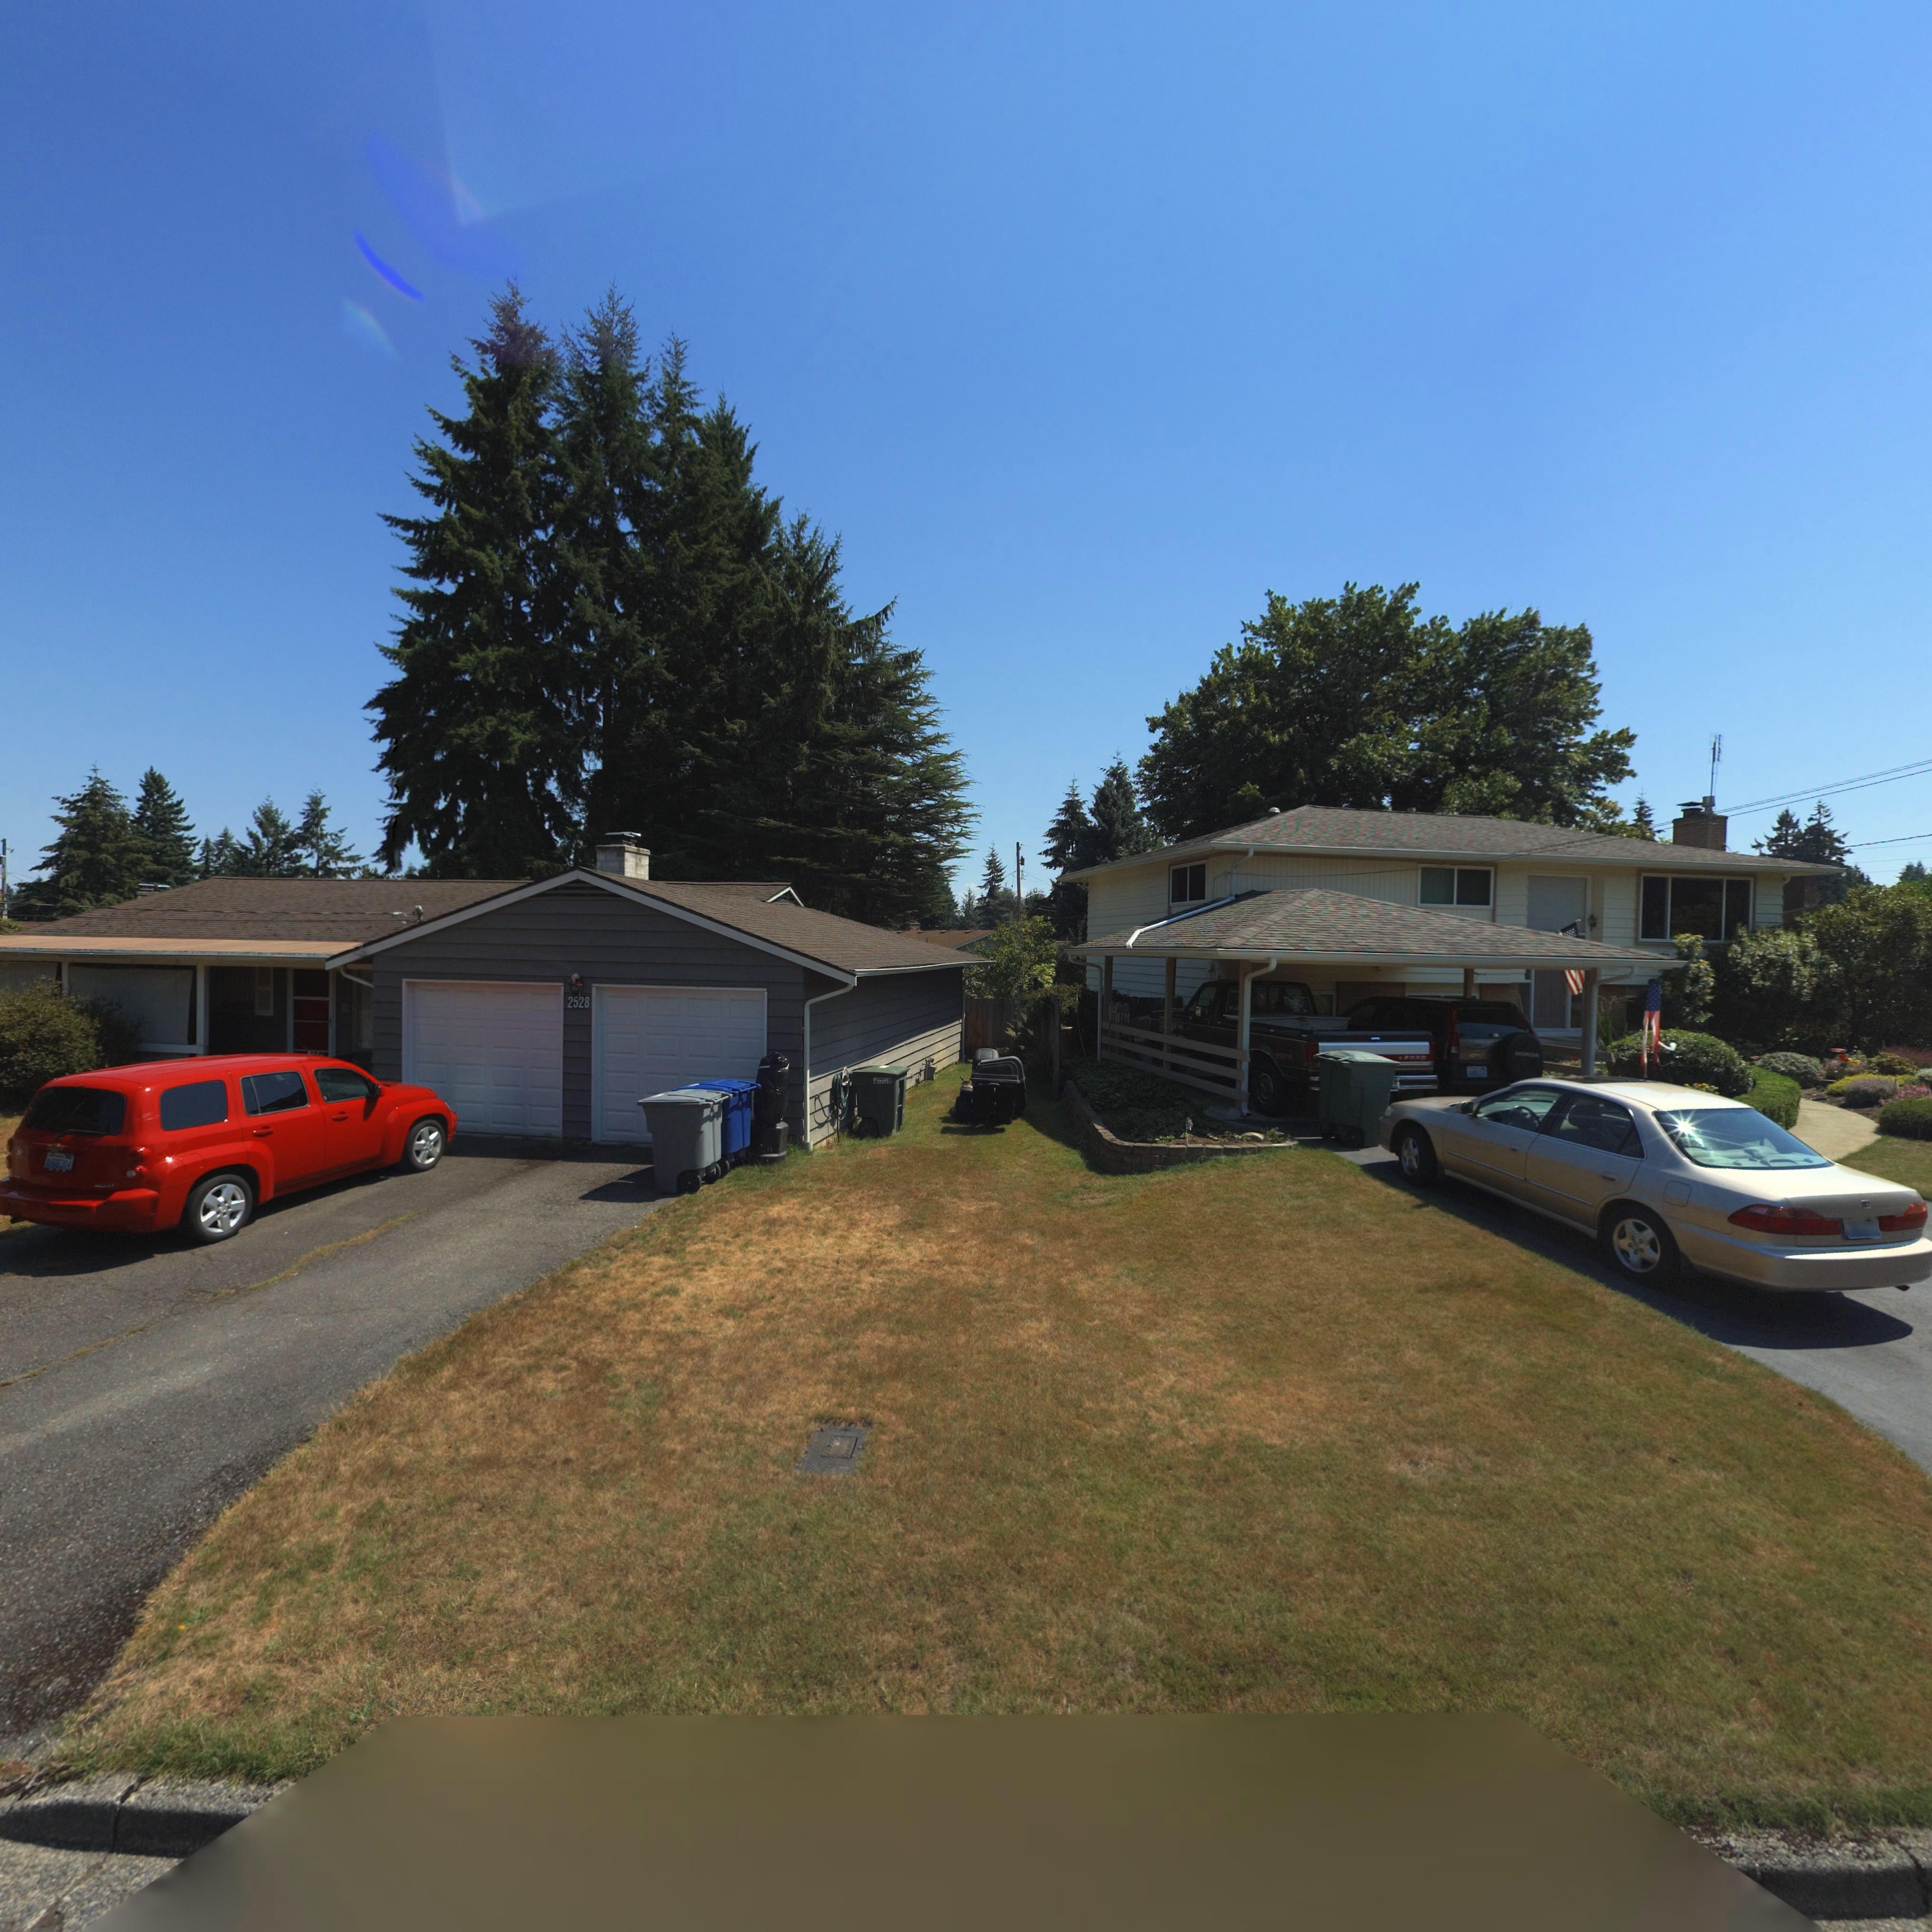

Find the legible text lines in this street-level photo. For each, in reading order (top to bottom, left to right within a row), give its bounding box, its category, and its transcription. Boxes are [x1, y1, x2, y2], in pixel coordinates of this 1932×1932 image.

[566, 995, 590, 1008] StreetNumber: 2528